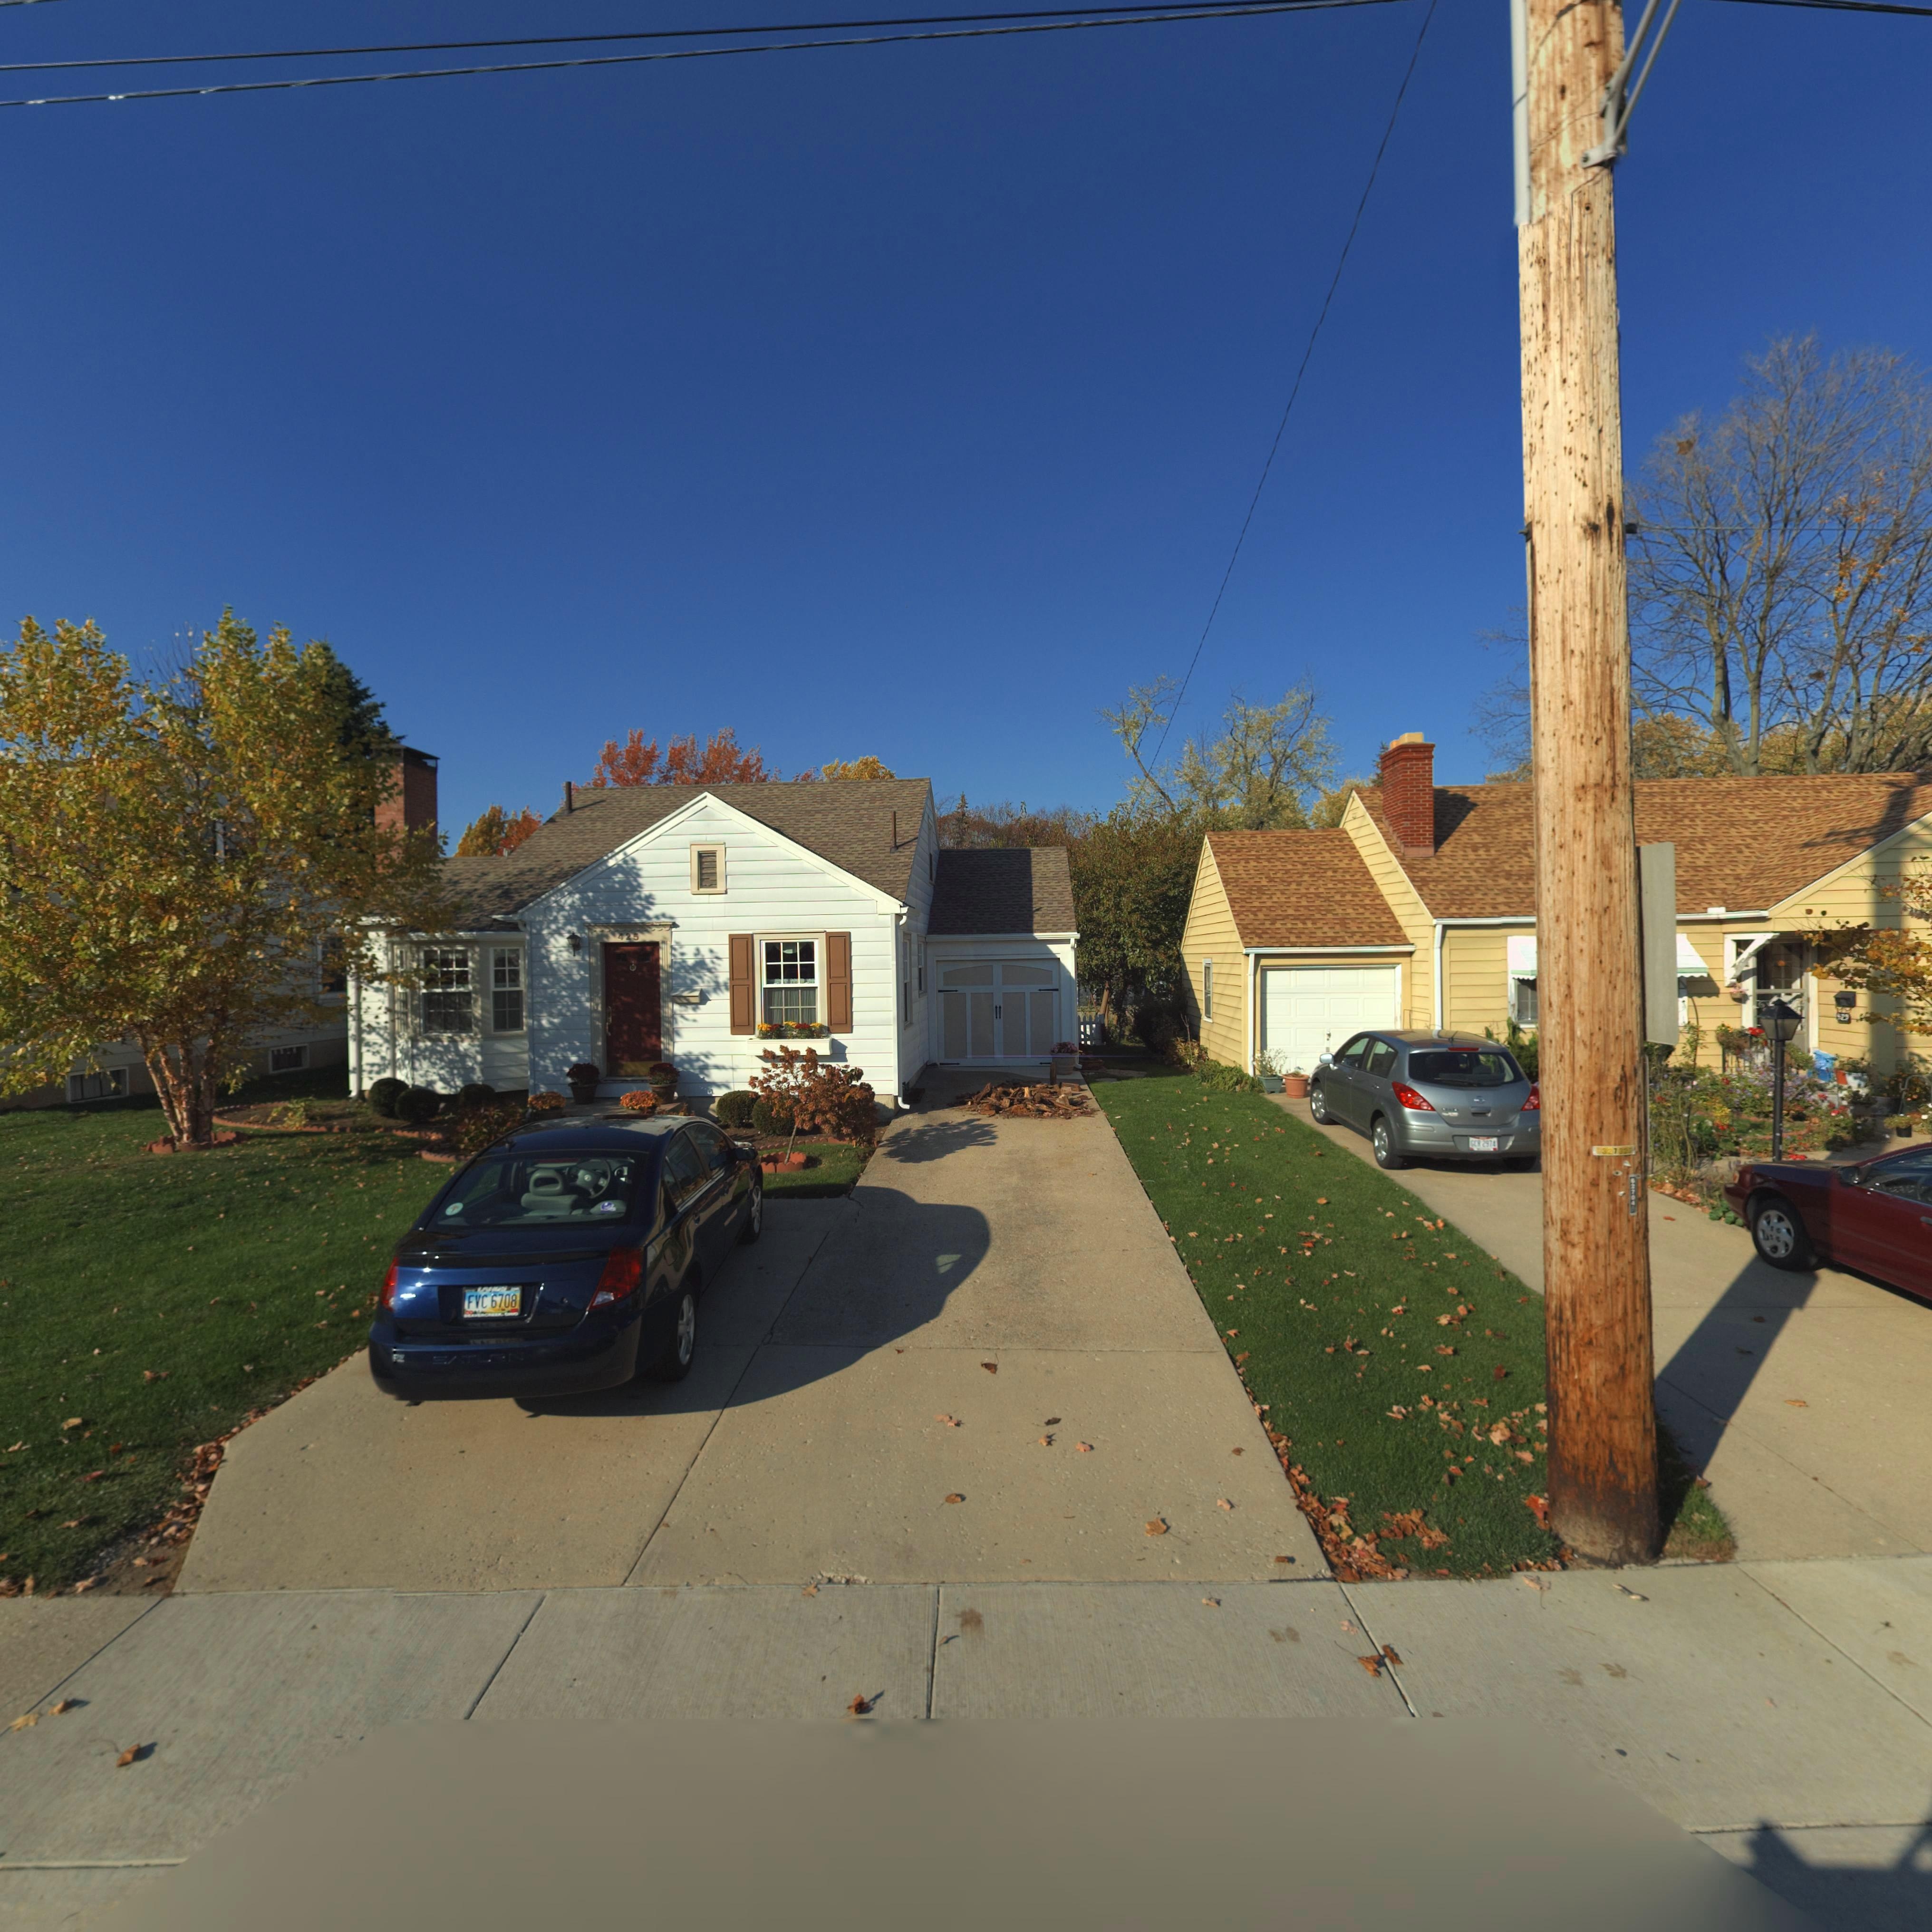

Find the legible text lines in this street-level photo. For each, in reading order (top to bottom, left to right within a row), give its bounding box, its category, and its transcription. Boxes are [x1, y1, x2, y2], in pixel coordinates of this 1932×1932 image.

[617, 933, 639, 941] StreetNumber: 425
[1835, 1013, 1850, 1021] StreetNumber: *29